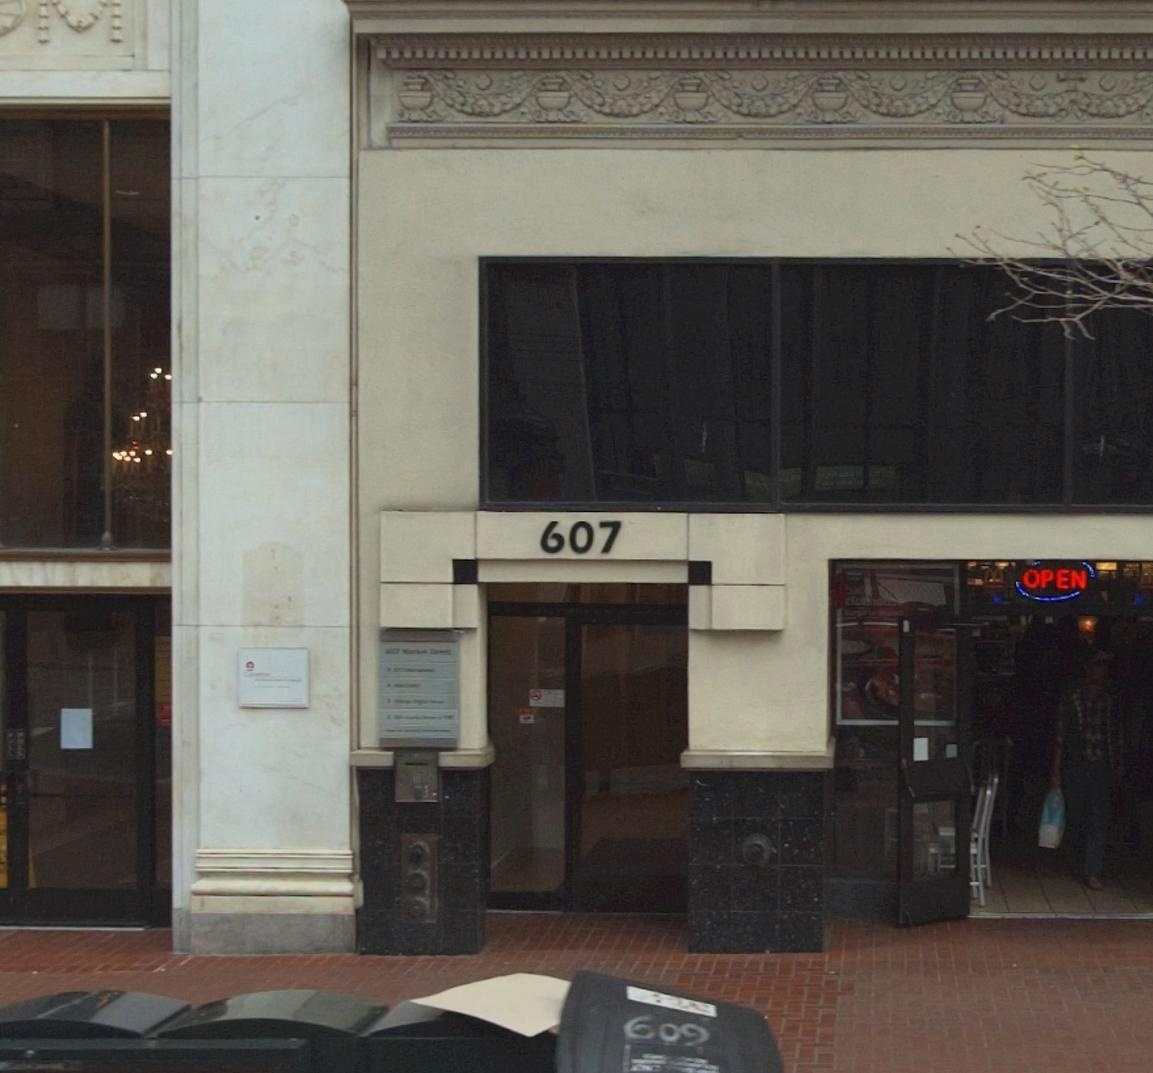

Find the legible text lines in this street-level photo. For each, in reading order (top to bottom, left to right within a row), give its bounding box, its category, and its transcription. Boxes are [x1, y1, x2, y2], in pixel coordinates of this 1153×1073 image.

[537, 519, 624, 555] StreetNumber: 607
[1021, 567, 1088, 590] None: OPEN
[619, 1012, 713, 1049] StreetNumber: 609